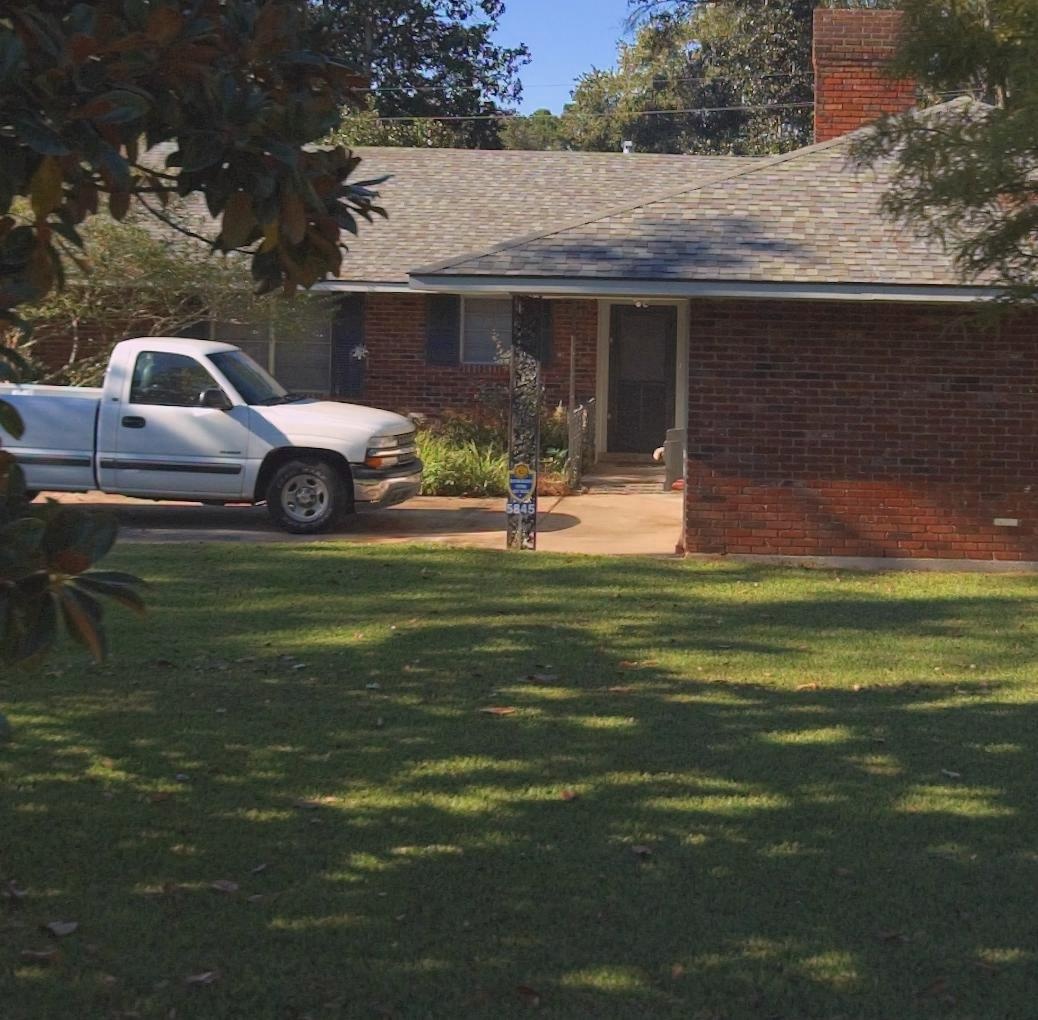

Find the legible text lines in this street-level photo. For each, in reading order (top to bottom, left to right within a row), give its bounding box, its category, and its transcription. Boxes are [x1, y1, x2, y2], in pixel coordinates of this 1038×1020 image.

[504, 501, 536, 517] StreetNumber: 5845